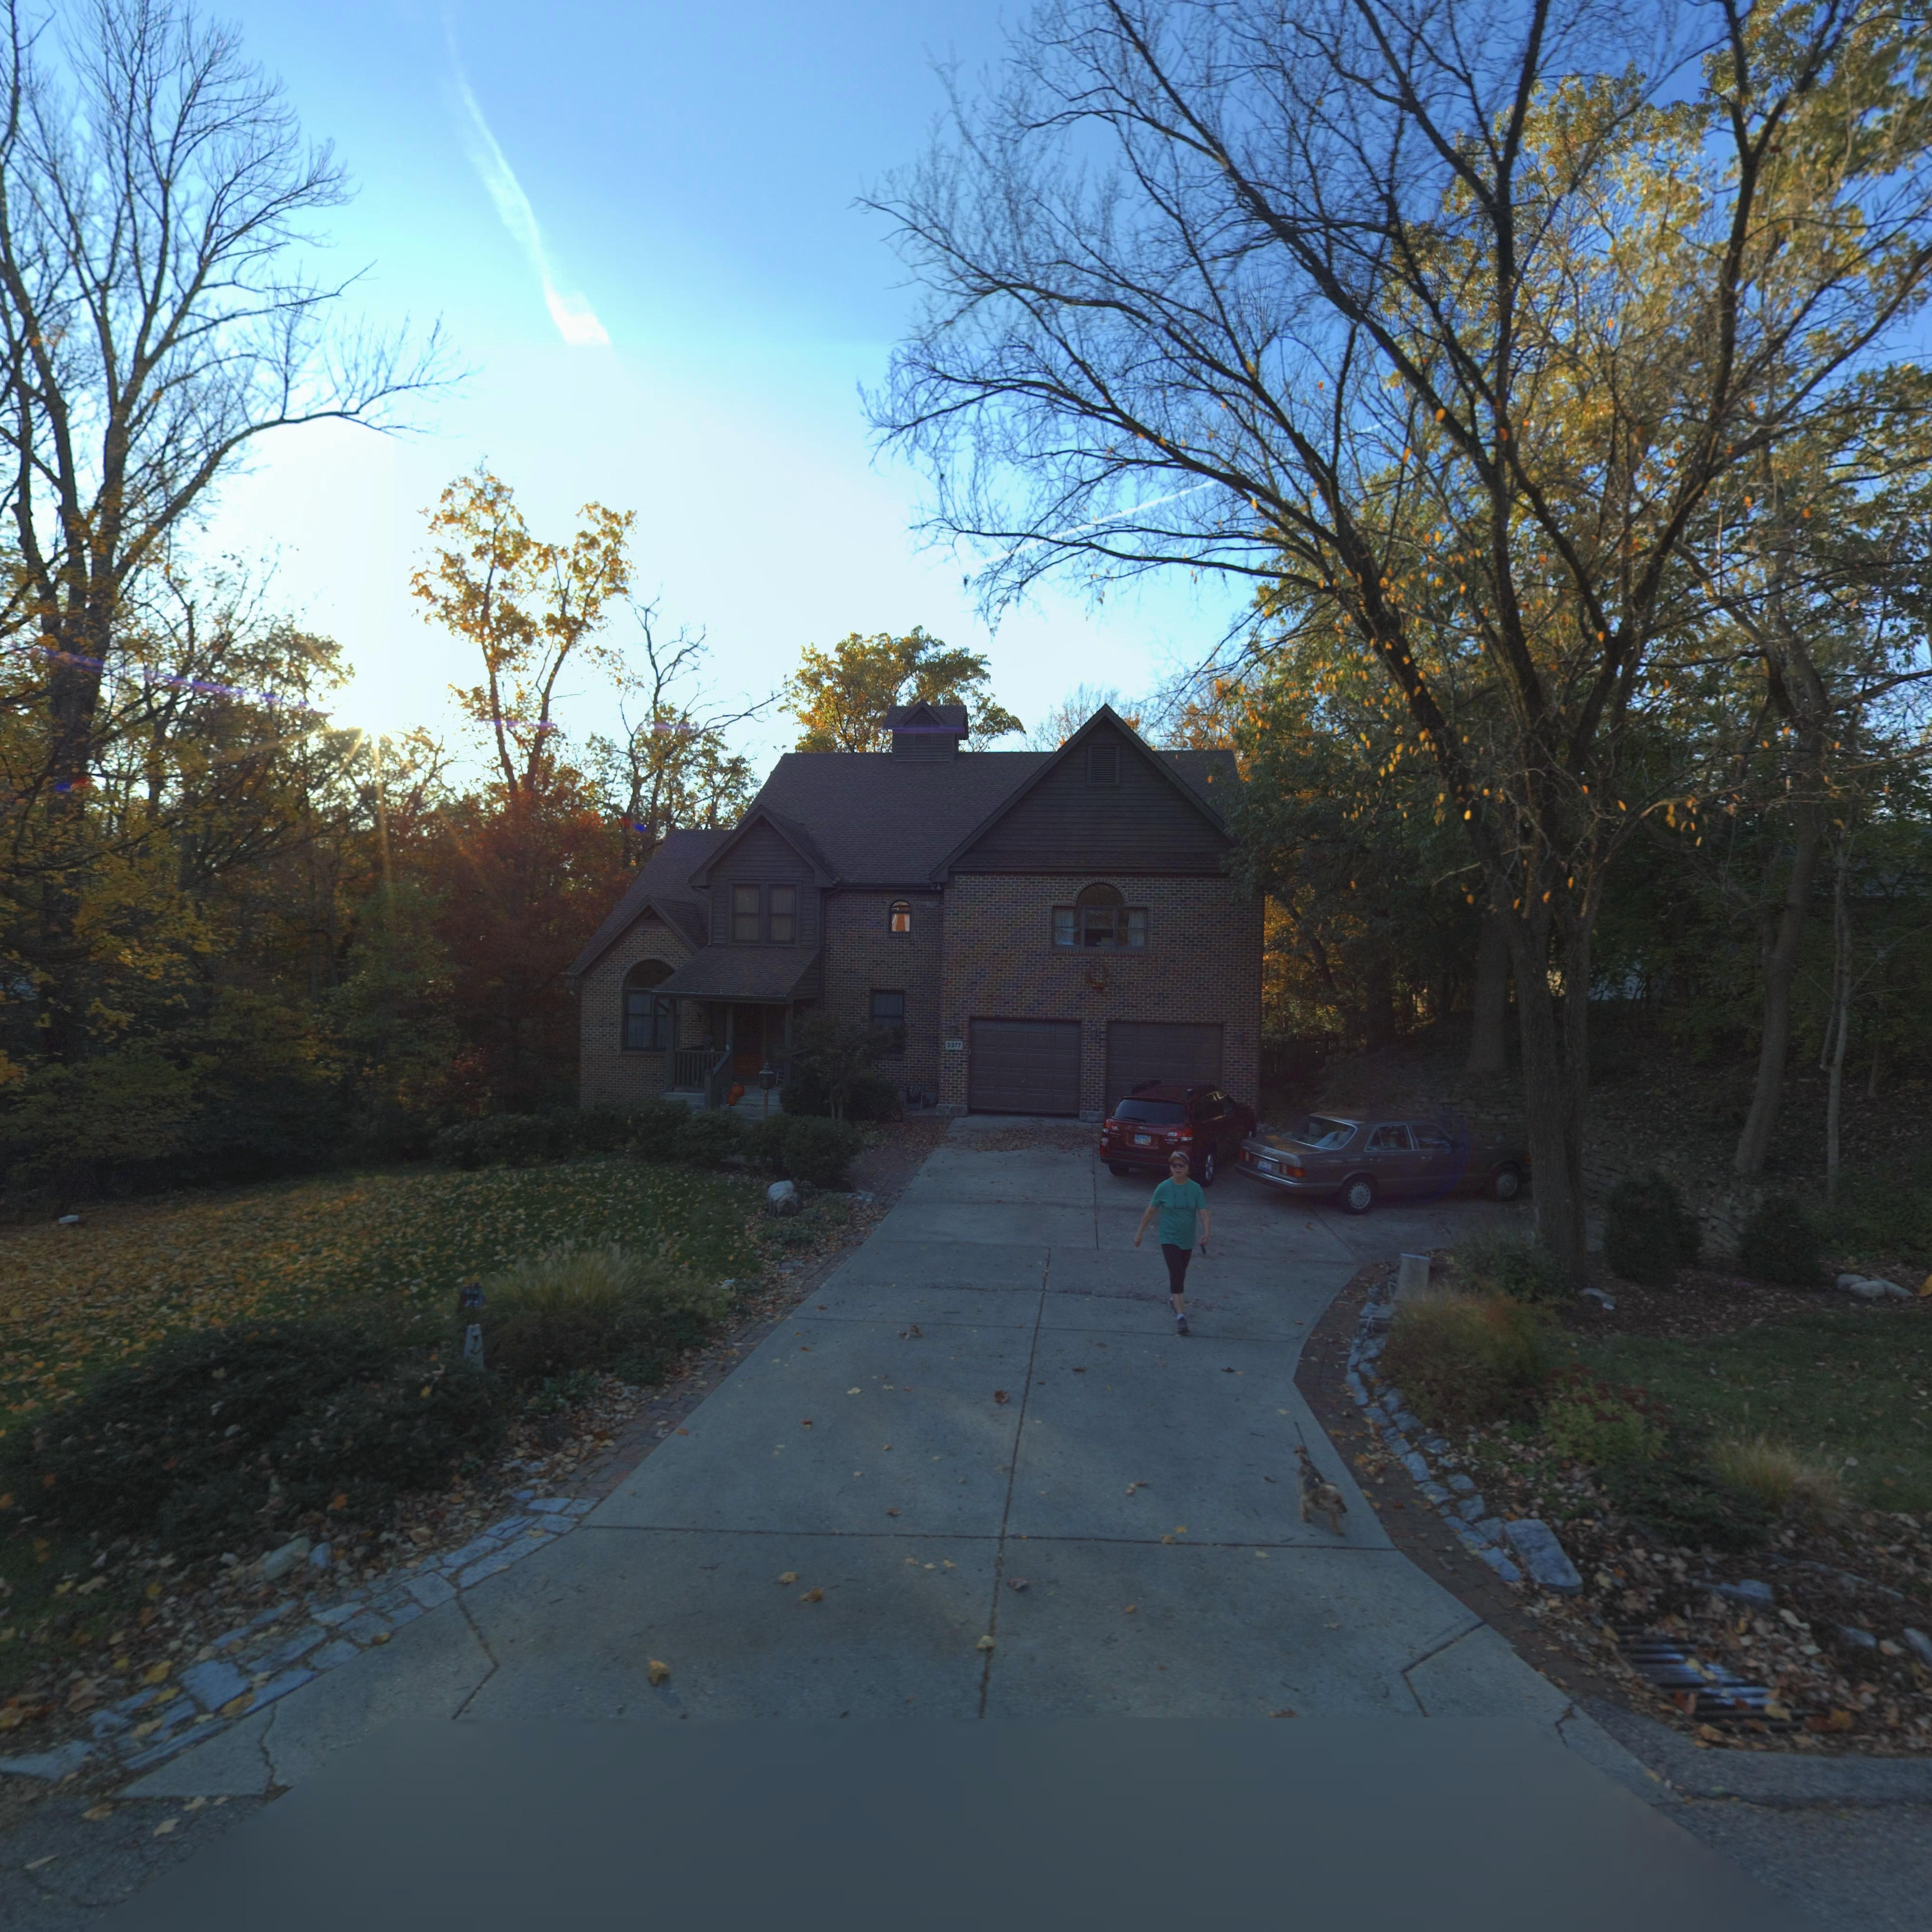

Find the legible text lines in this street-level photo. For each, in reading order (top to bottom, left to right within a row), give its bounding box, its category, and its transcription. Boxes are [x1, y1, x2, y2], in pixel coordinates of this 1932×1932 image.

[947, 1042, 961, 1048] StreetNumber: 3377